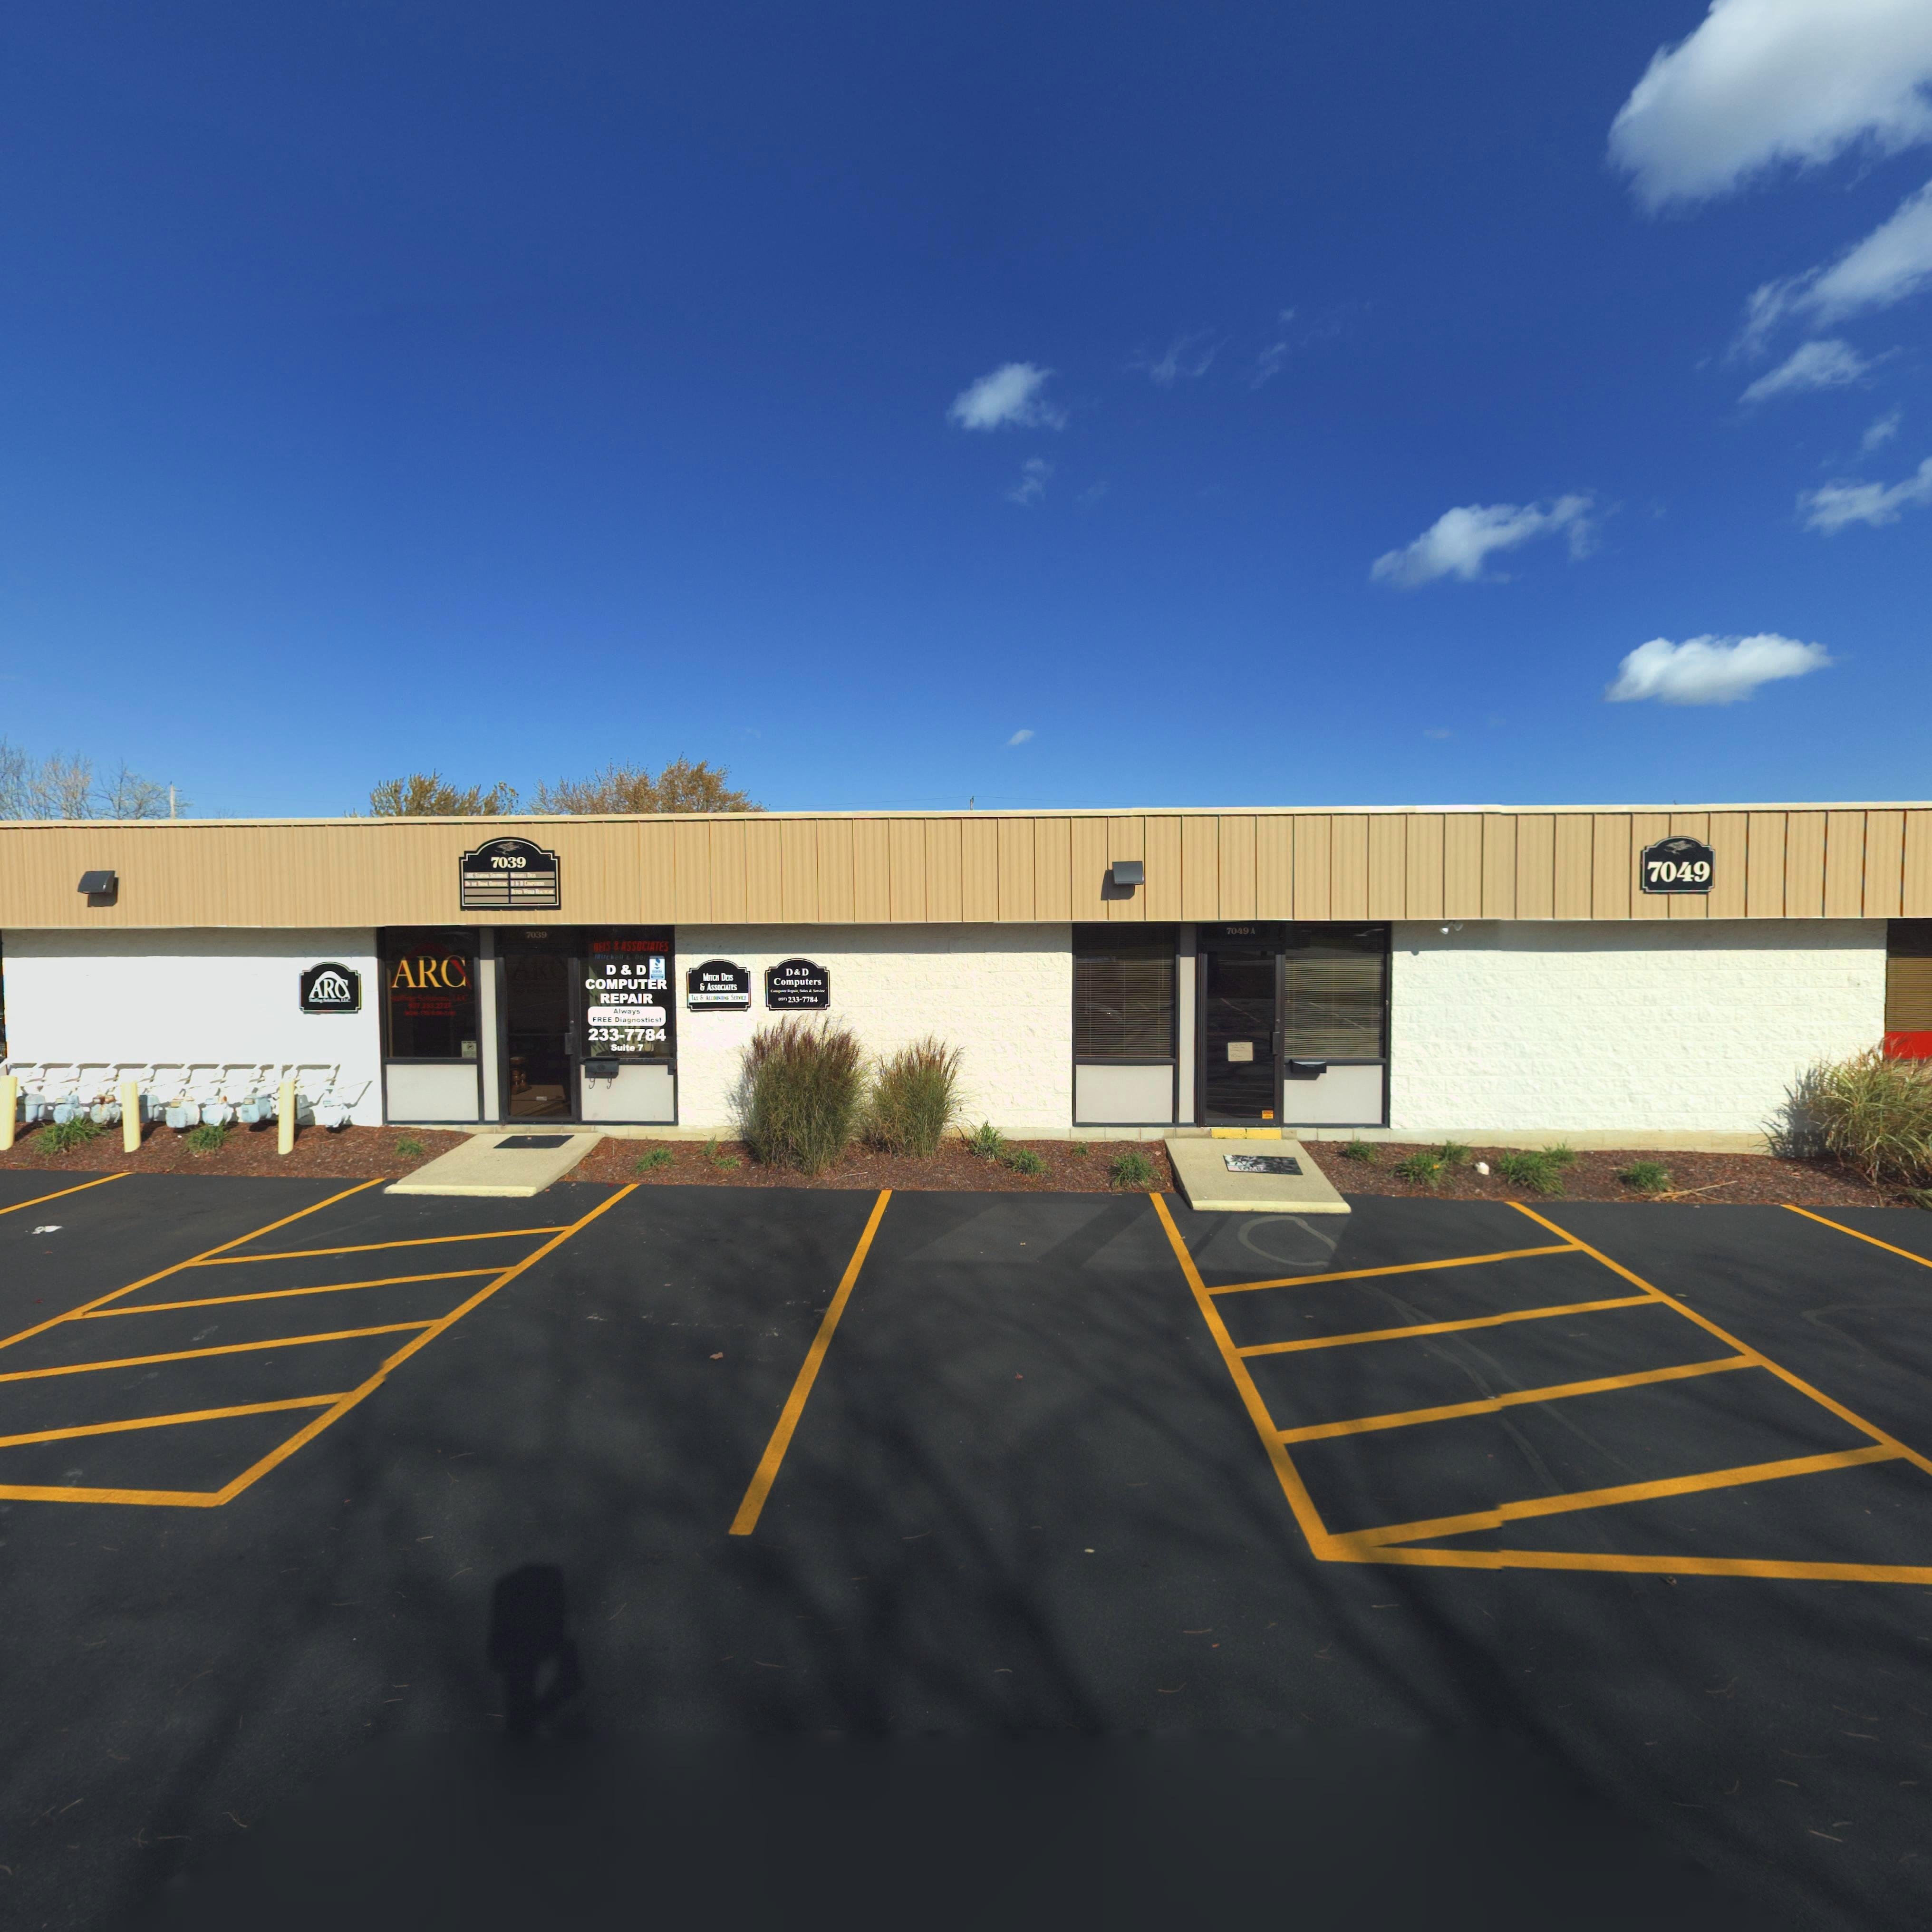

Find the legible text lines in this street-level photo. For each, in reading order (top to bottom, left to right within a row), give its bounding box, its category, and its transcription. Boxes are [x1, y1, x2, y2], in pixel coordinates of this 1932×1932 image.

[489, 855, 529, 870] StreetNumber: 7039
[1645, 859, 1713, 886] StreetNumber: 7049
[524, 930, 549, 940] StreetNumber: 7039
[1224, 926, 1257, 937] StreetNumber: 7049 A